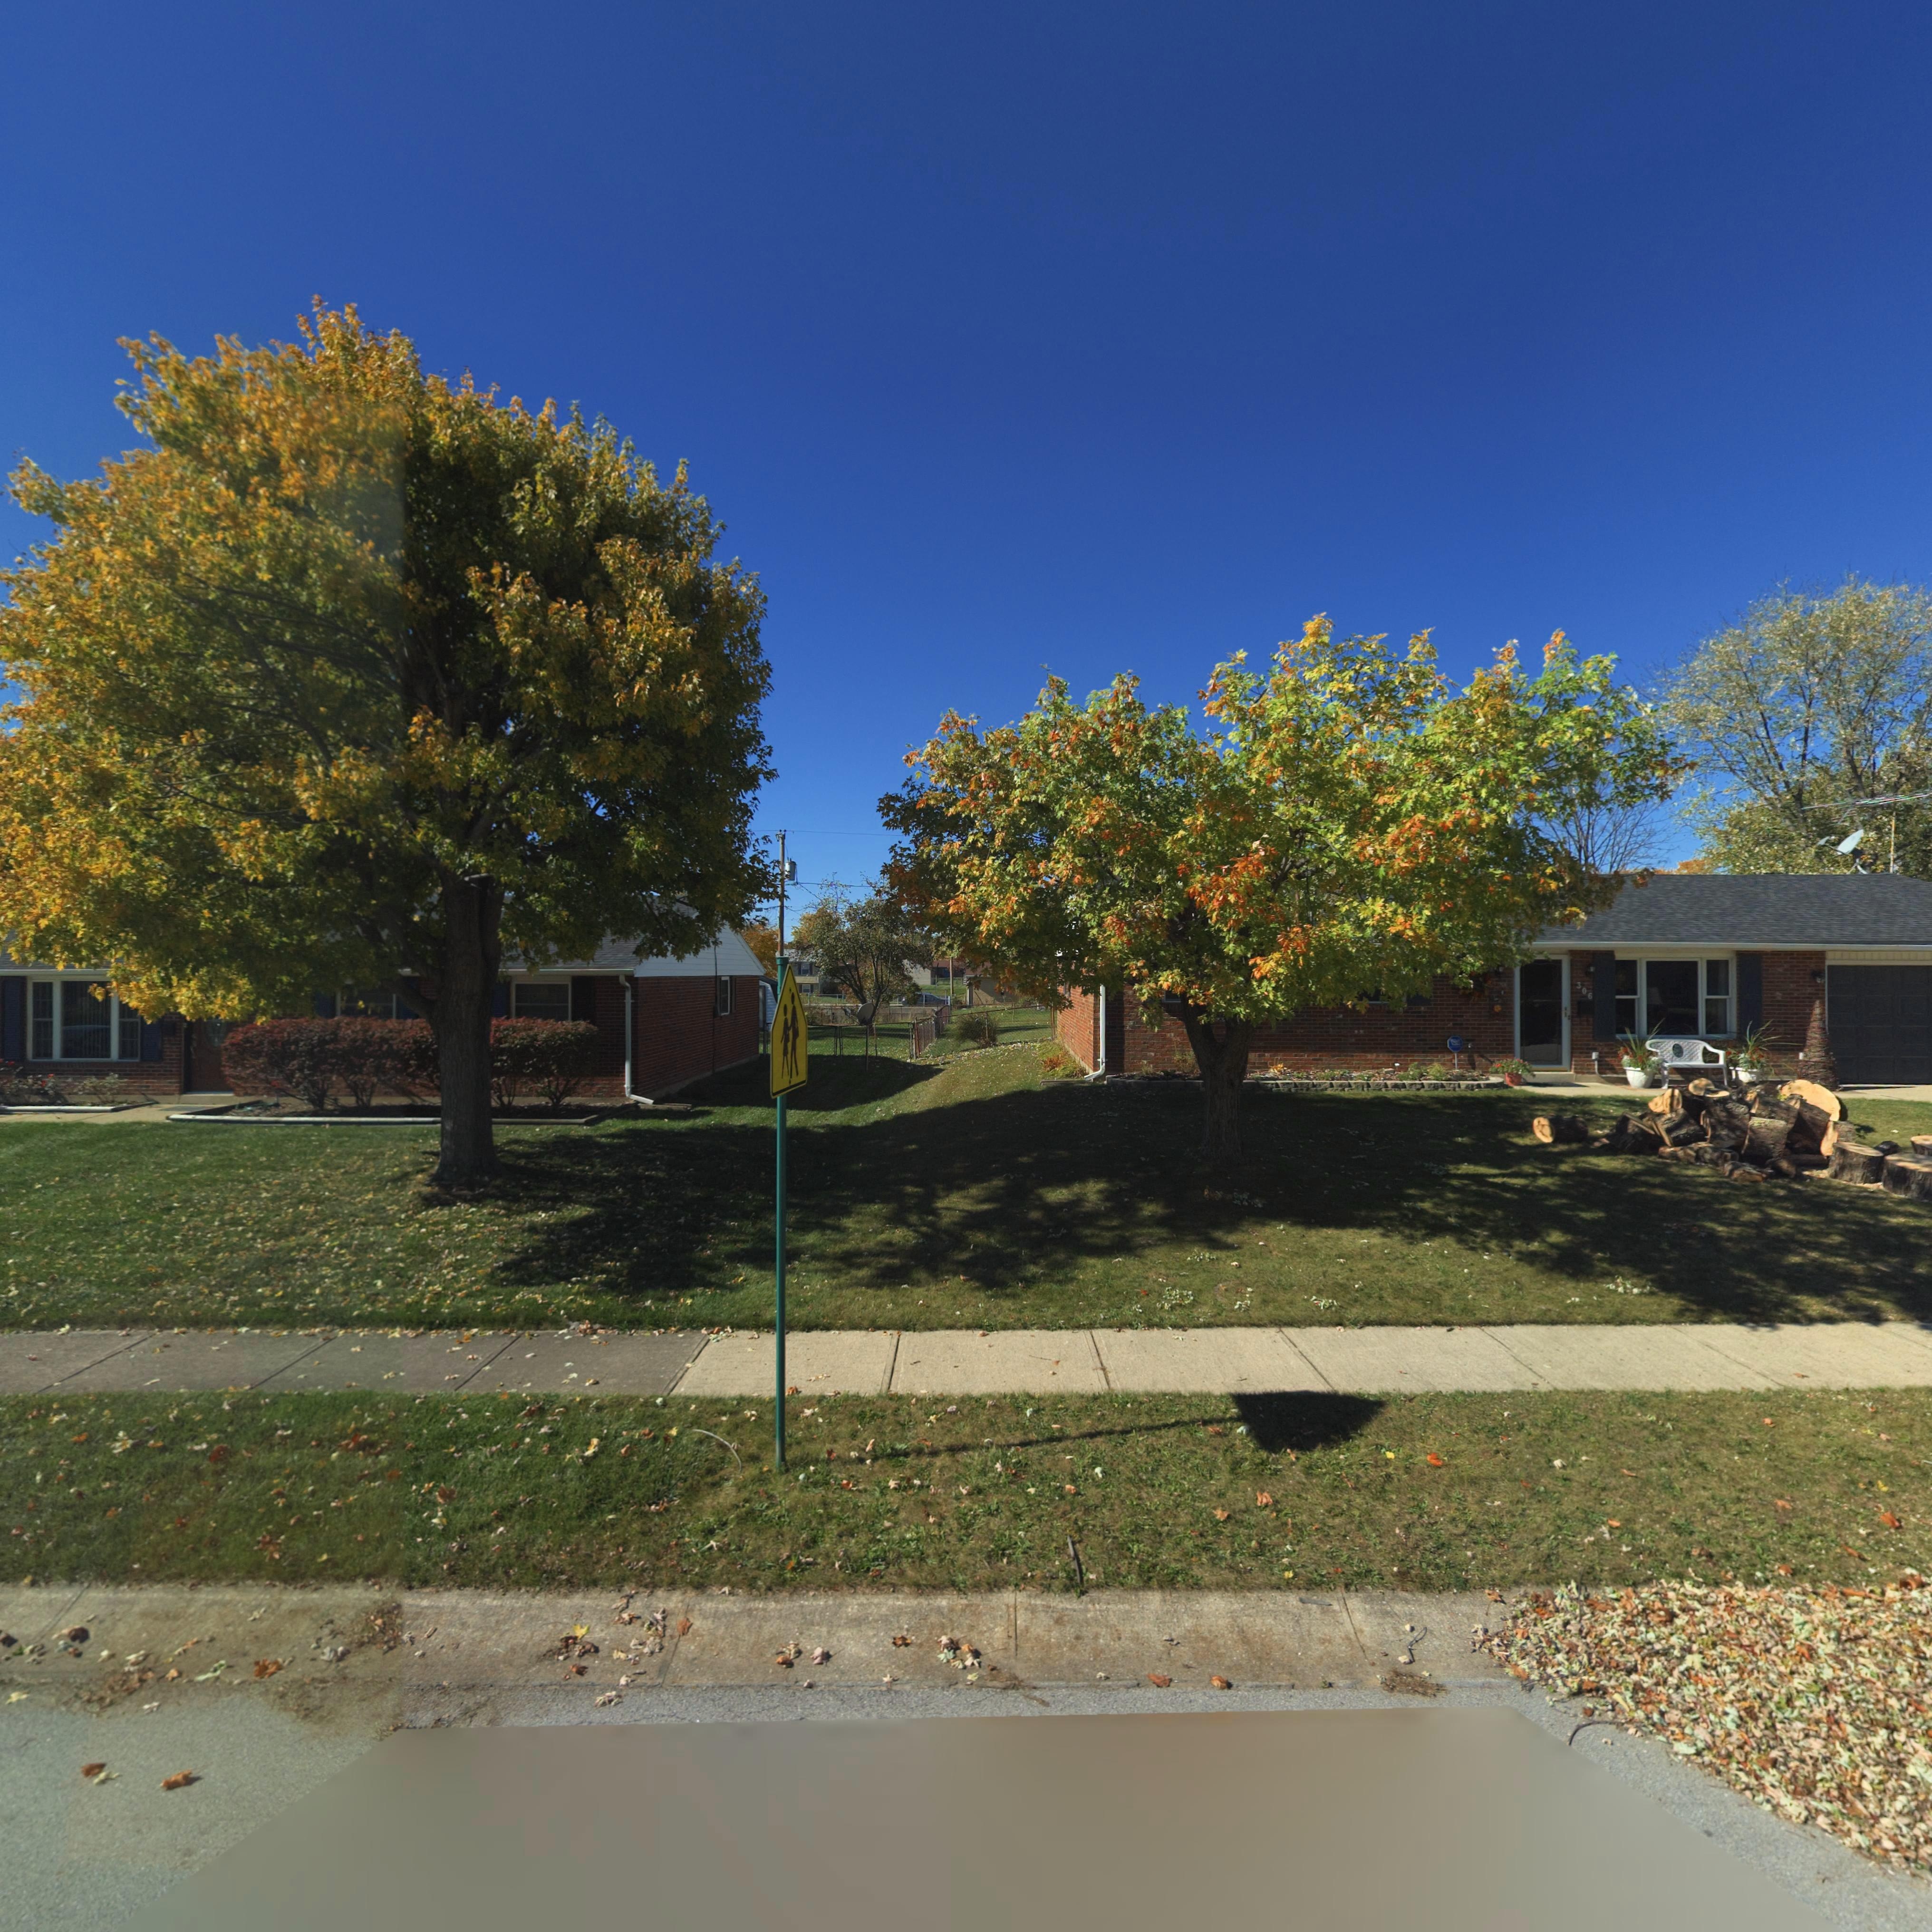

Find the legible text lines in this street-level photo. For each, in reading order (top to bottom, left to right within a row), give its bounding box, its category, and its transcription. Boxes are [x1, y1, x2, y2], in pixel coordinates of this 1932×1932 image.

[1575, 982, 1593, 1000] StreetNumber: 306